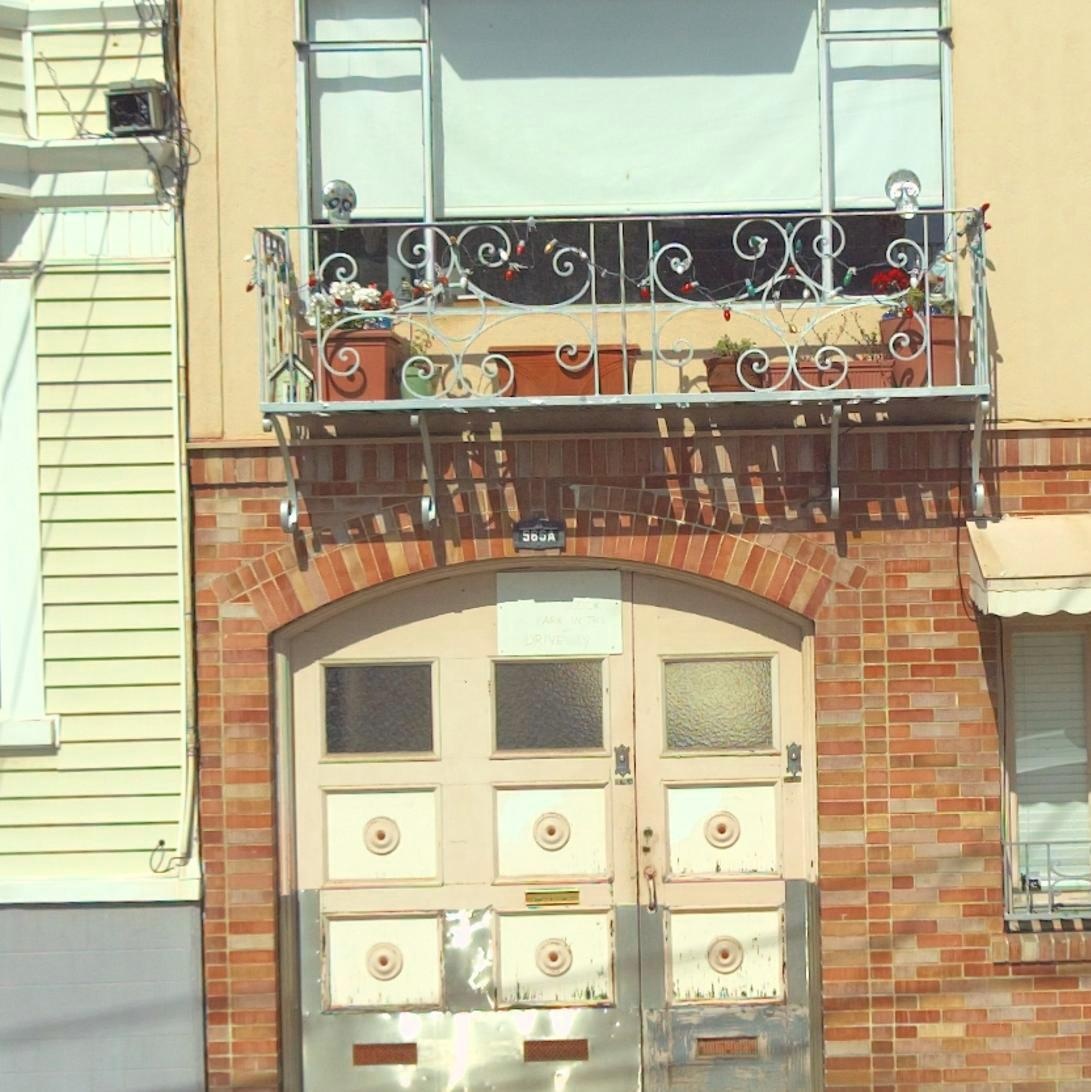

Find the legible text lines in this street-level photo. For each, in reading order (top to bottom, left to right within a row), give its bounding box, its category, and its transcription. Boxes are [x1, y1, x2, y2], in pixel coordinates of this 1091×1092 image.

[521, 528, 558, 543] StreetNumber: 565A